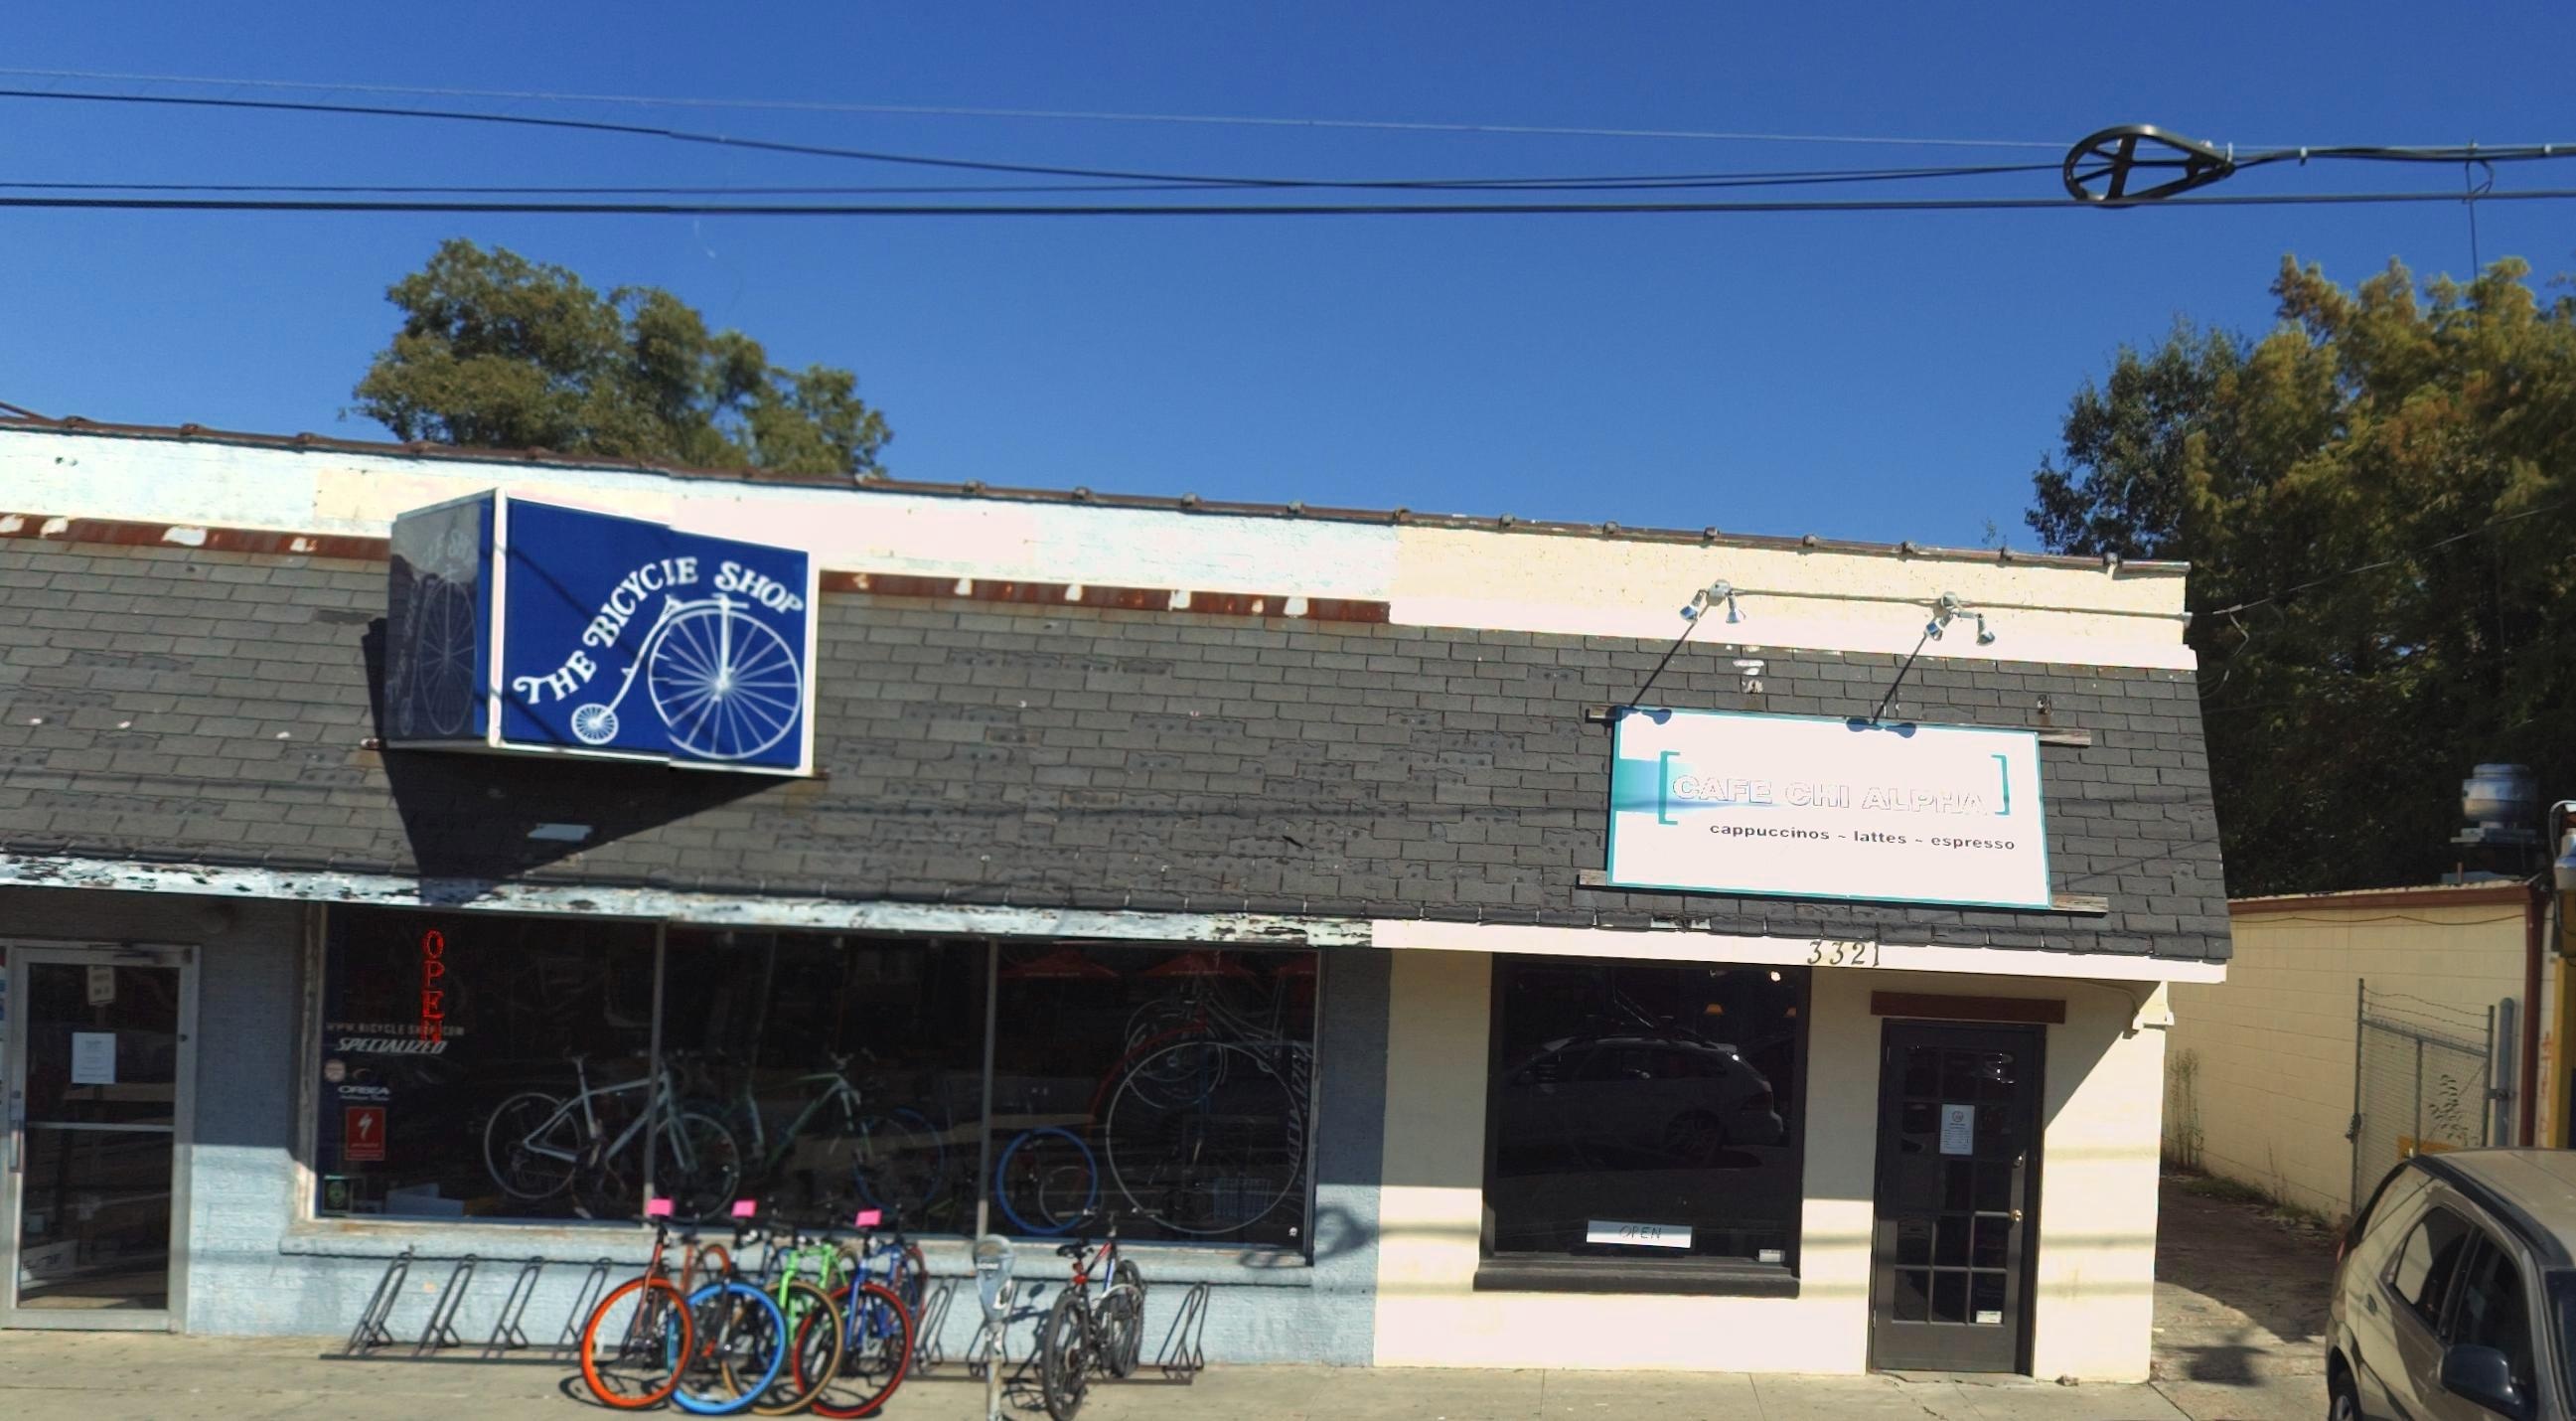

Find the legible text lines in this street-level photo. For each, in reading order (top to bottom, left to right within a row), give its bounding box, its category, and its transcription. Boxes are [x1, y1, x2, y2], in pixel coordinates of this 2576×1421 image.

[381, 525, 481, 706] BusinessName: *** *****LE SHOP
[510, 553, 806, 706] BusinessName: THE BICYCLE SHOP
[1672, 775, 1991, 819] BusinessName: CAGE CHI ALPHA
[1709, 824, 2016, 851] None: cappuccinos ~ lattes ~ espresso
[1806, 939, 1882, 969] StreetNumber: 3321
[417, 928, 445, 1044] None: OPE*
[324, 1021, 405, 1035] None: WWW.BICYCLE
[333, 1035, 450, 1055] None: SPECIALIZED
[1290, 1038, 1309, 1101] None: IZED
[337, 1084, 391, 1096] None: O***A
[355, 1112, 376, 1143] None: S
[1618, 1224, 1662, 1240] None: OPEN